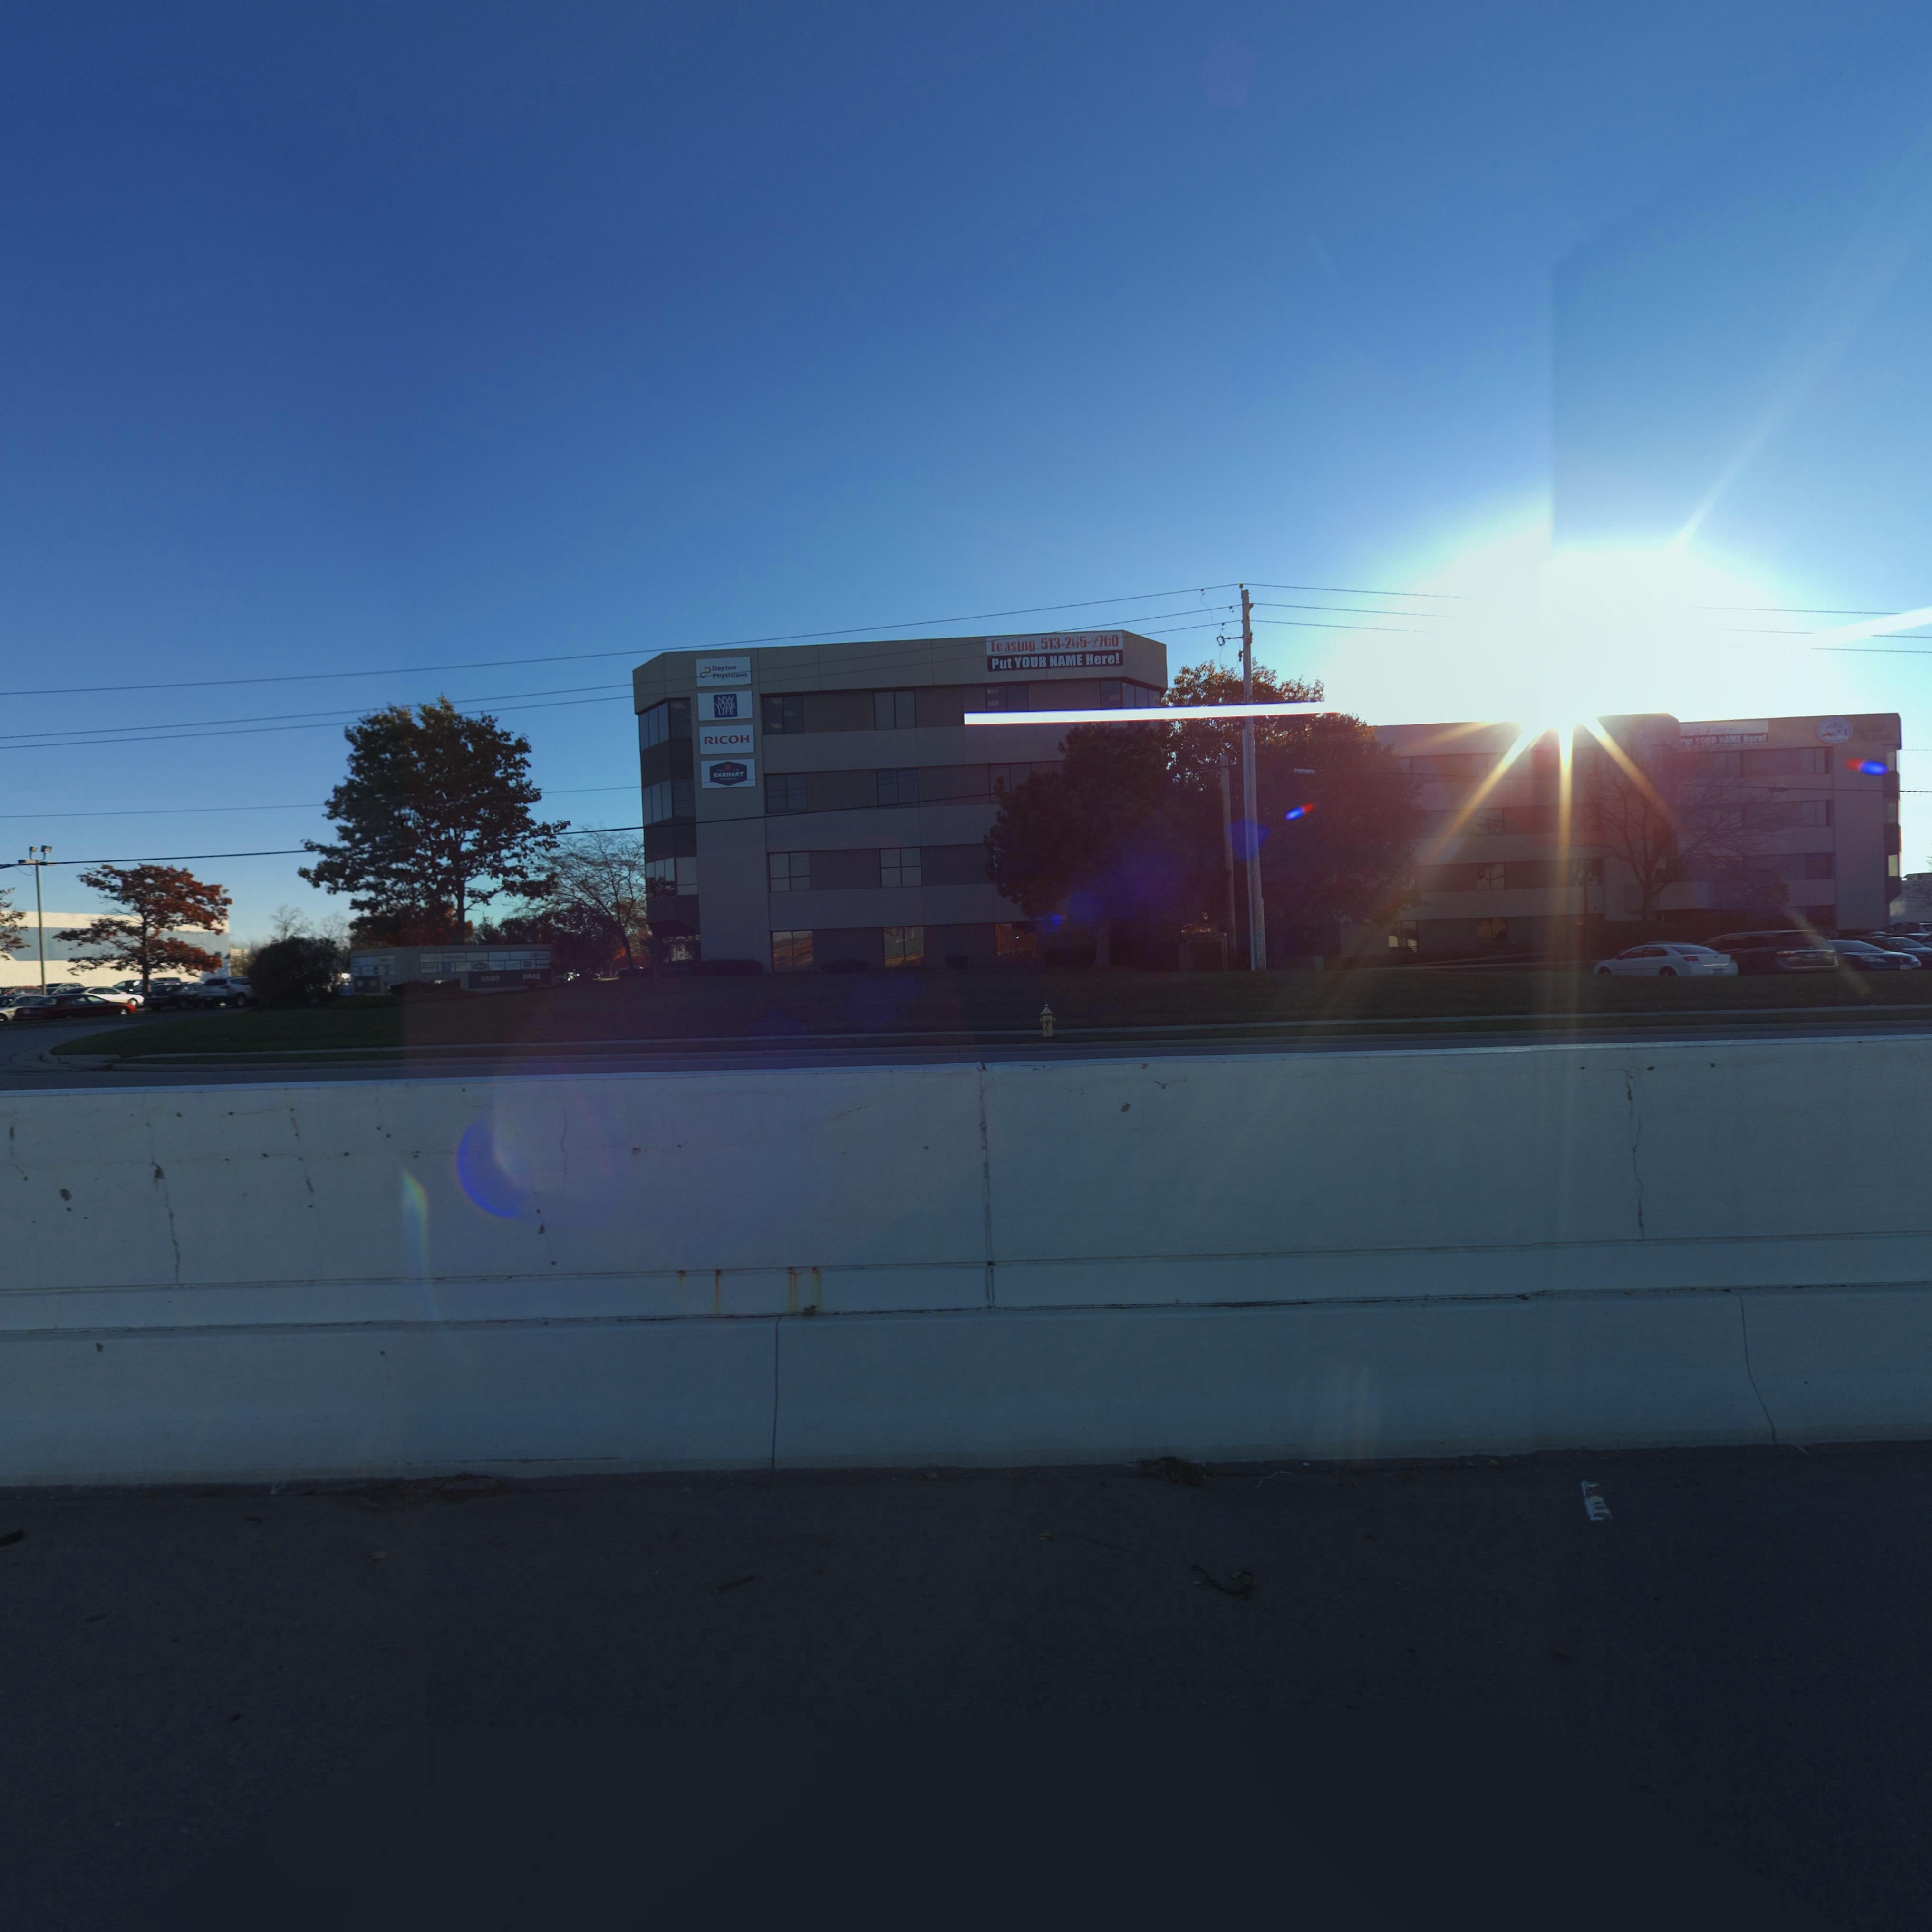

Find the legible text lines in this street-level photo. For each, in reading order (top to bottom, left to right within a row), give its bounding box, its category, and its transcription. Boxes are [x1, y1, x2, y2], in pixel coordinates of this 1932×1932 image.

[990, 633, 1119, 653] None: Leasing 513-265-2700
[989, 651, 1121, 670] None: Put YOUR NAME Here!
[710, 664, 738, 672] None: Dayton
[711, 672, 748, 679] None: Physicians
[717, 695, 734, 703] None: NEW
[715, 701, 736, 709] None: YORK
[716, 707, 735, 715] None: LIFE
[703, 734, 749, 745] None: RICOH
[713, 769, 744, 778] None: EARHART
[480, 974, 501, 984] StreetNumber: 6**0
[522, 972, 542, 981] StreetNumber: ***0